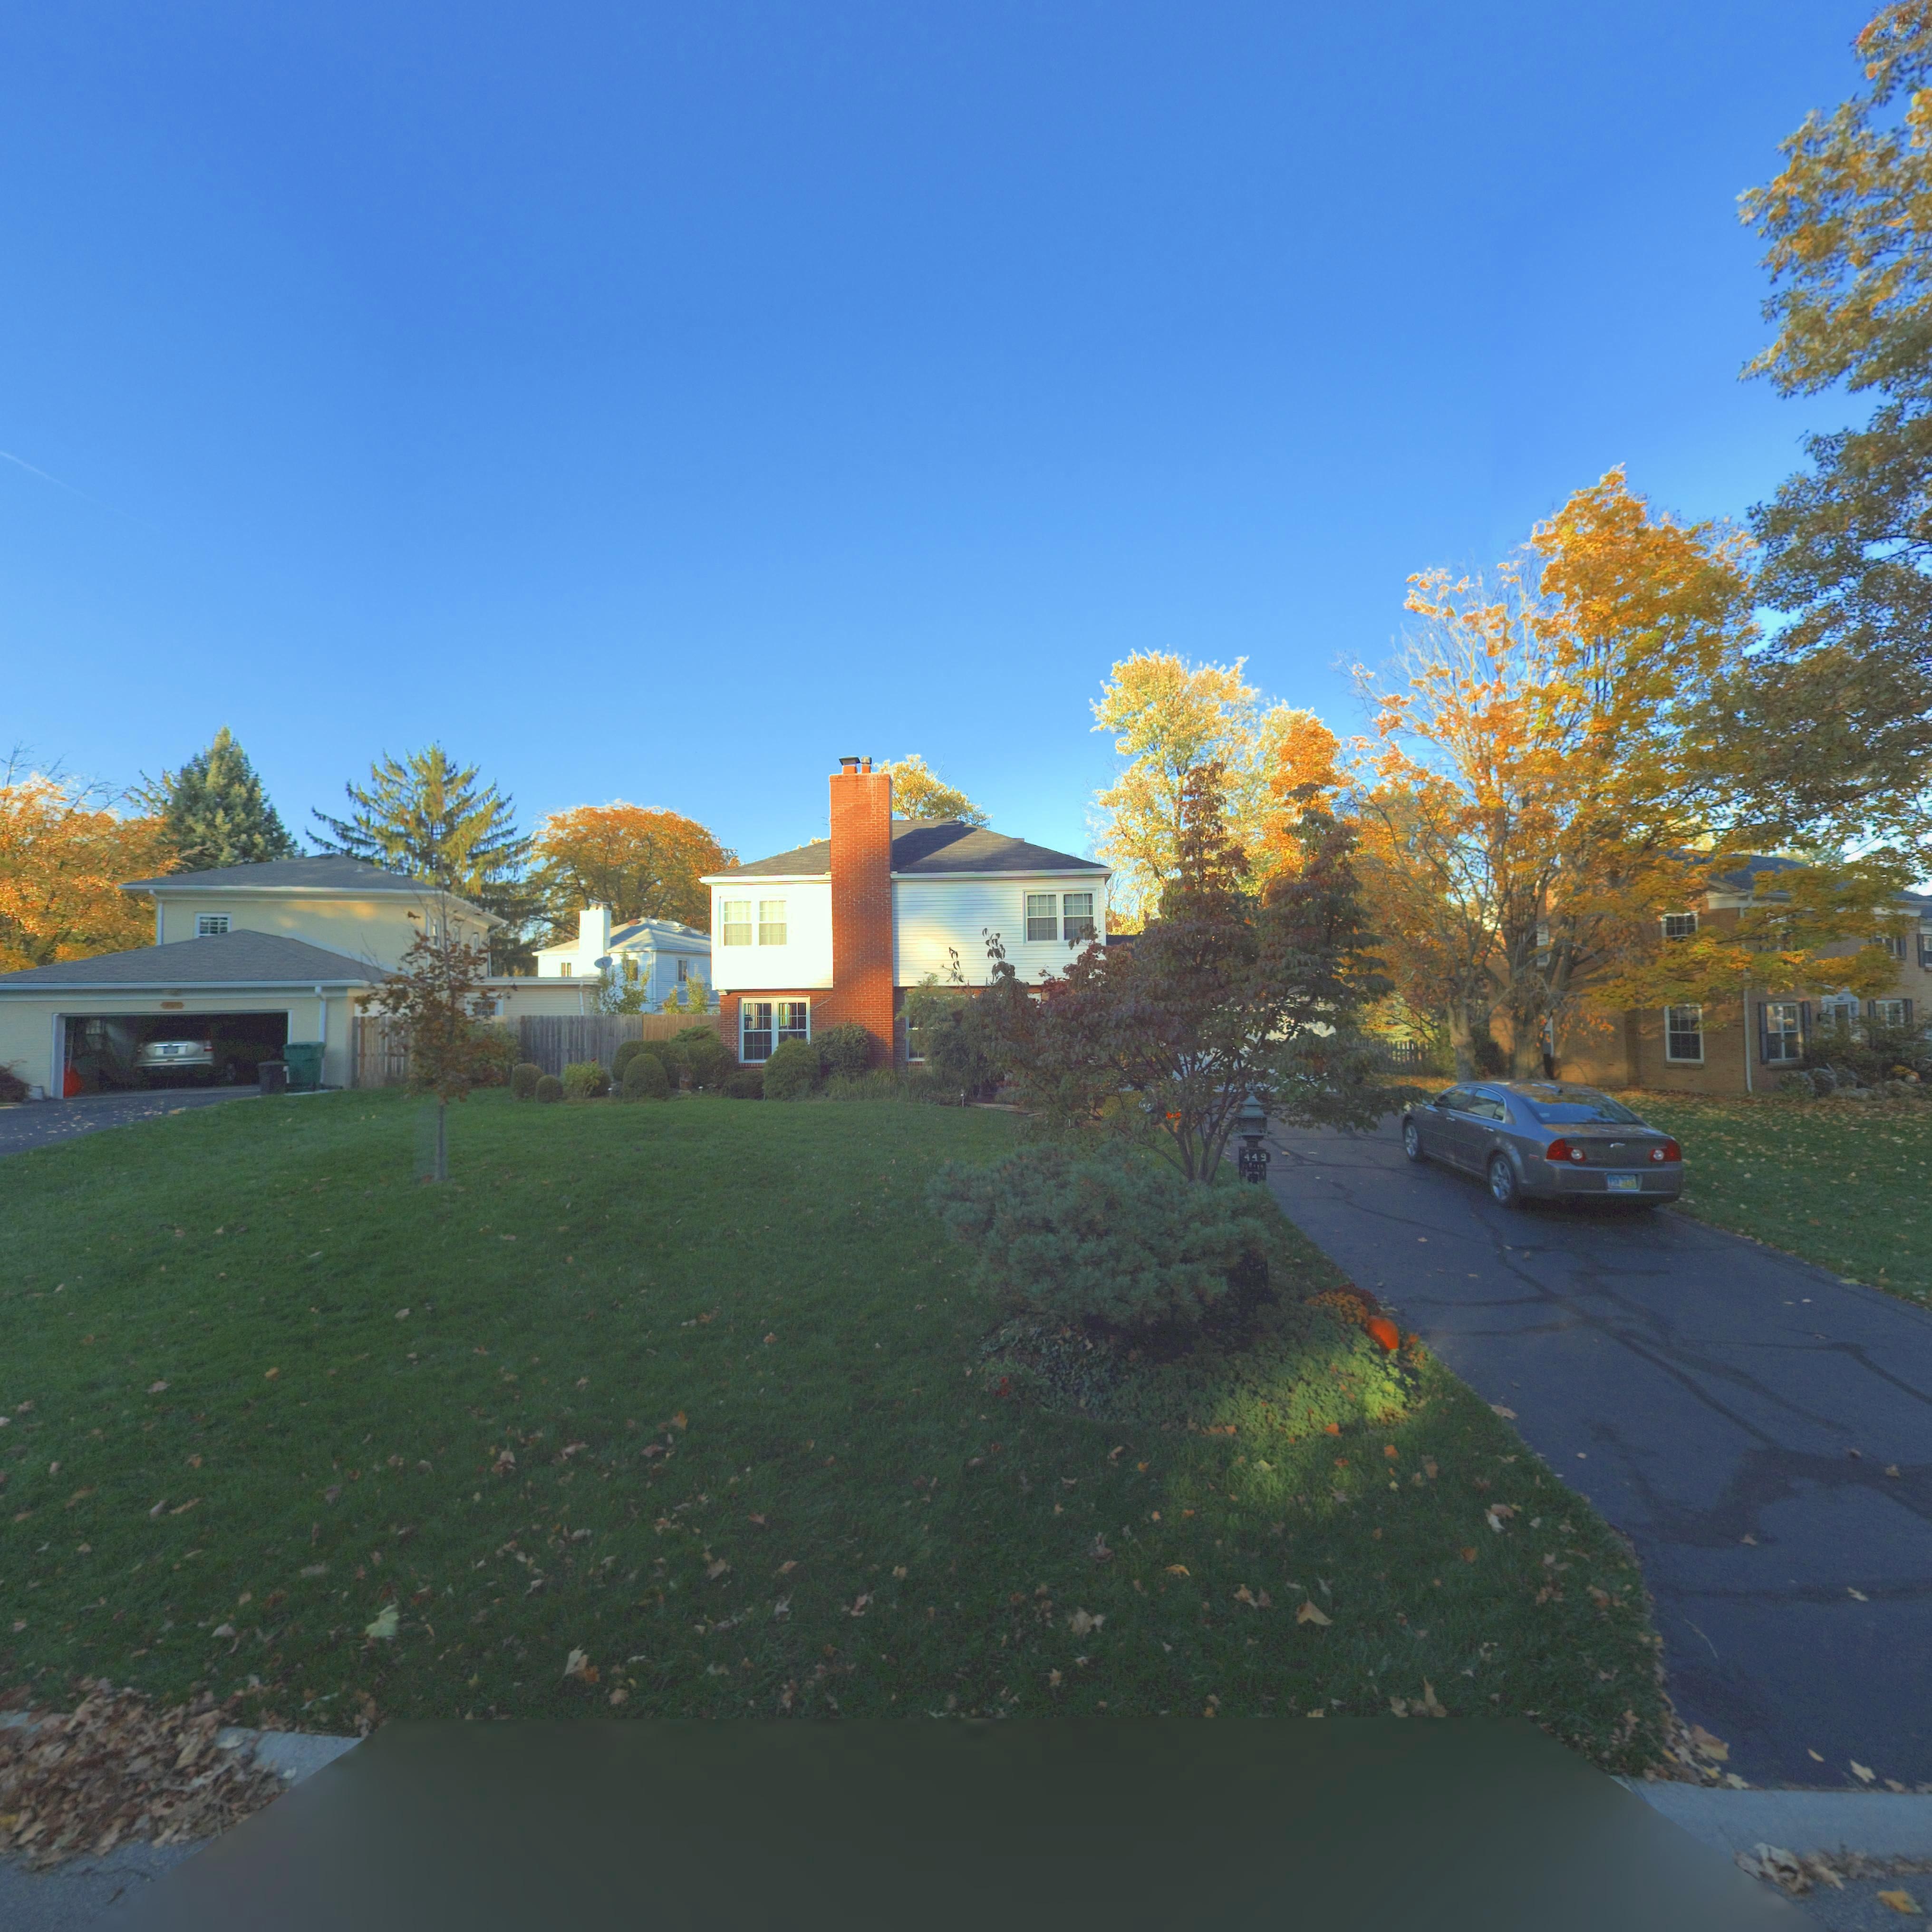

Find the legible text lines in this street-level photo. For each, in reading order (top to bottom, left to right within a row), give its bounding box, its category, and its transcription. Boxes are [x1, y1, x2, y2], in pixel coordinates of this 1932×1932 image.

[1242, 1152, 1267, 1162] StreetNumber: 449